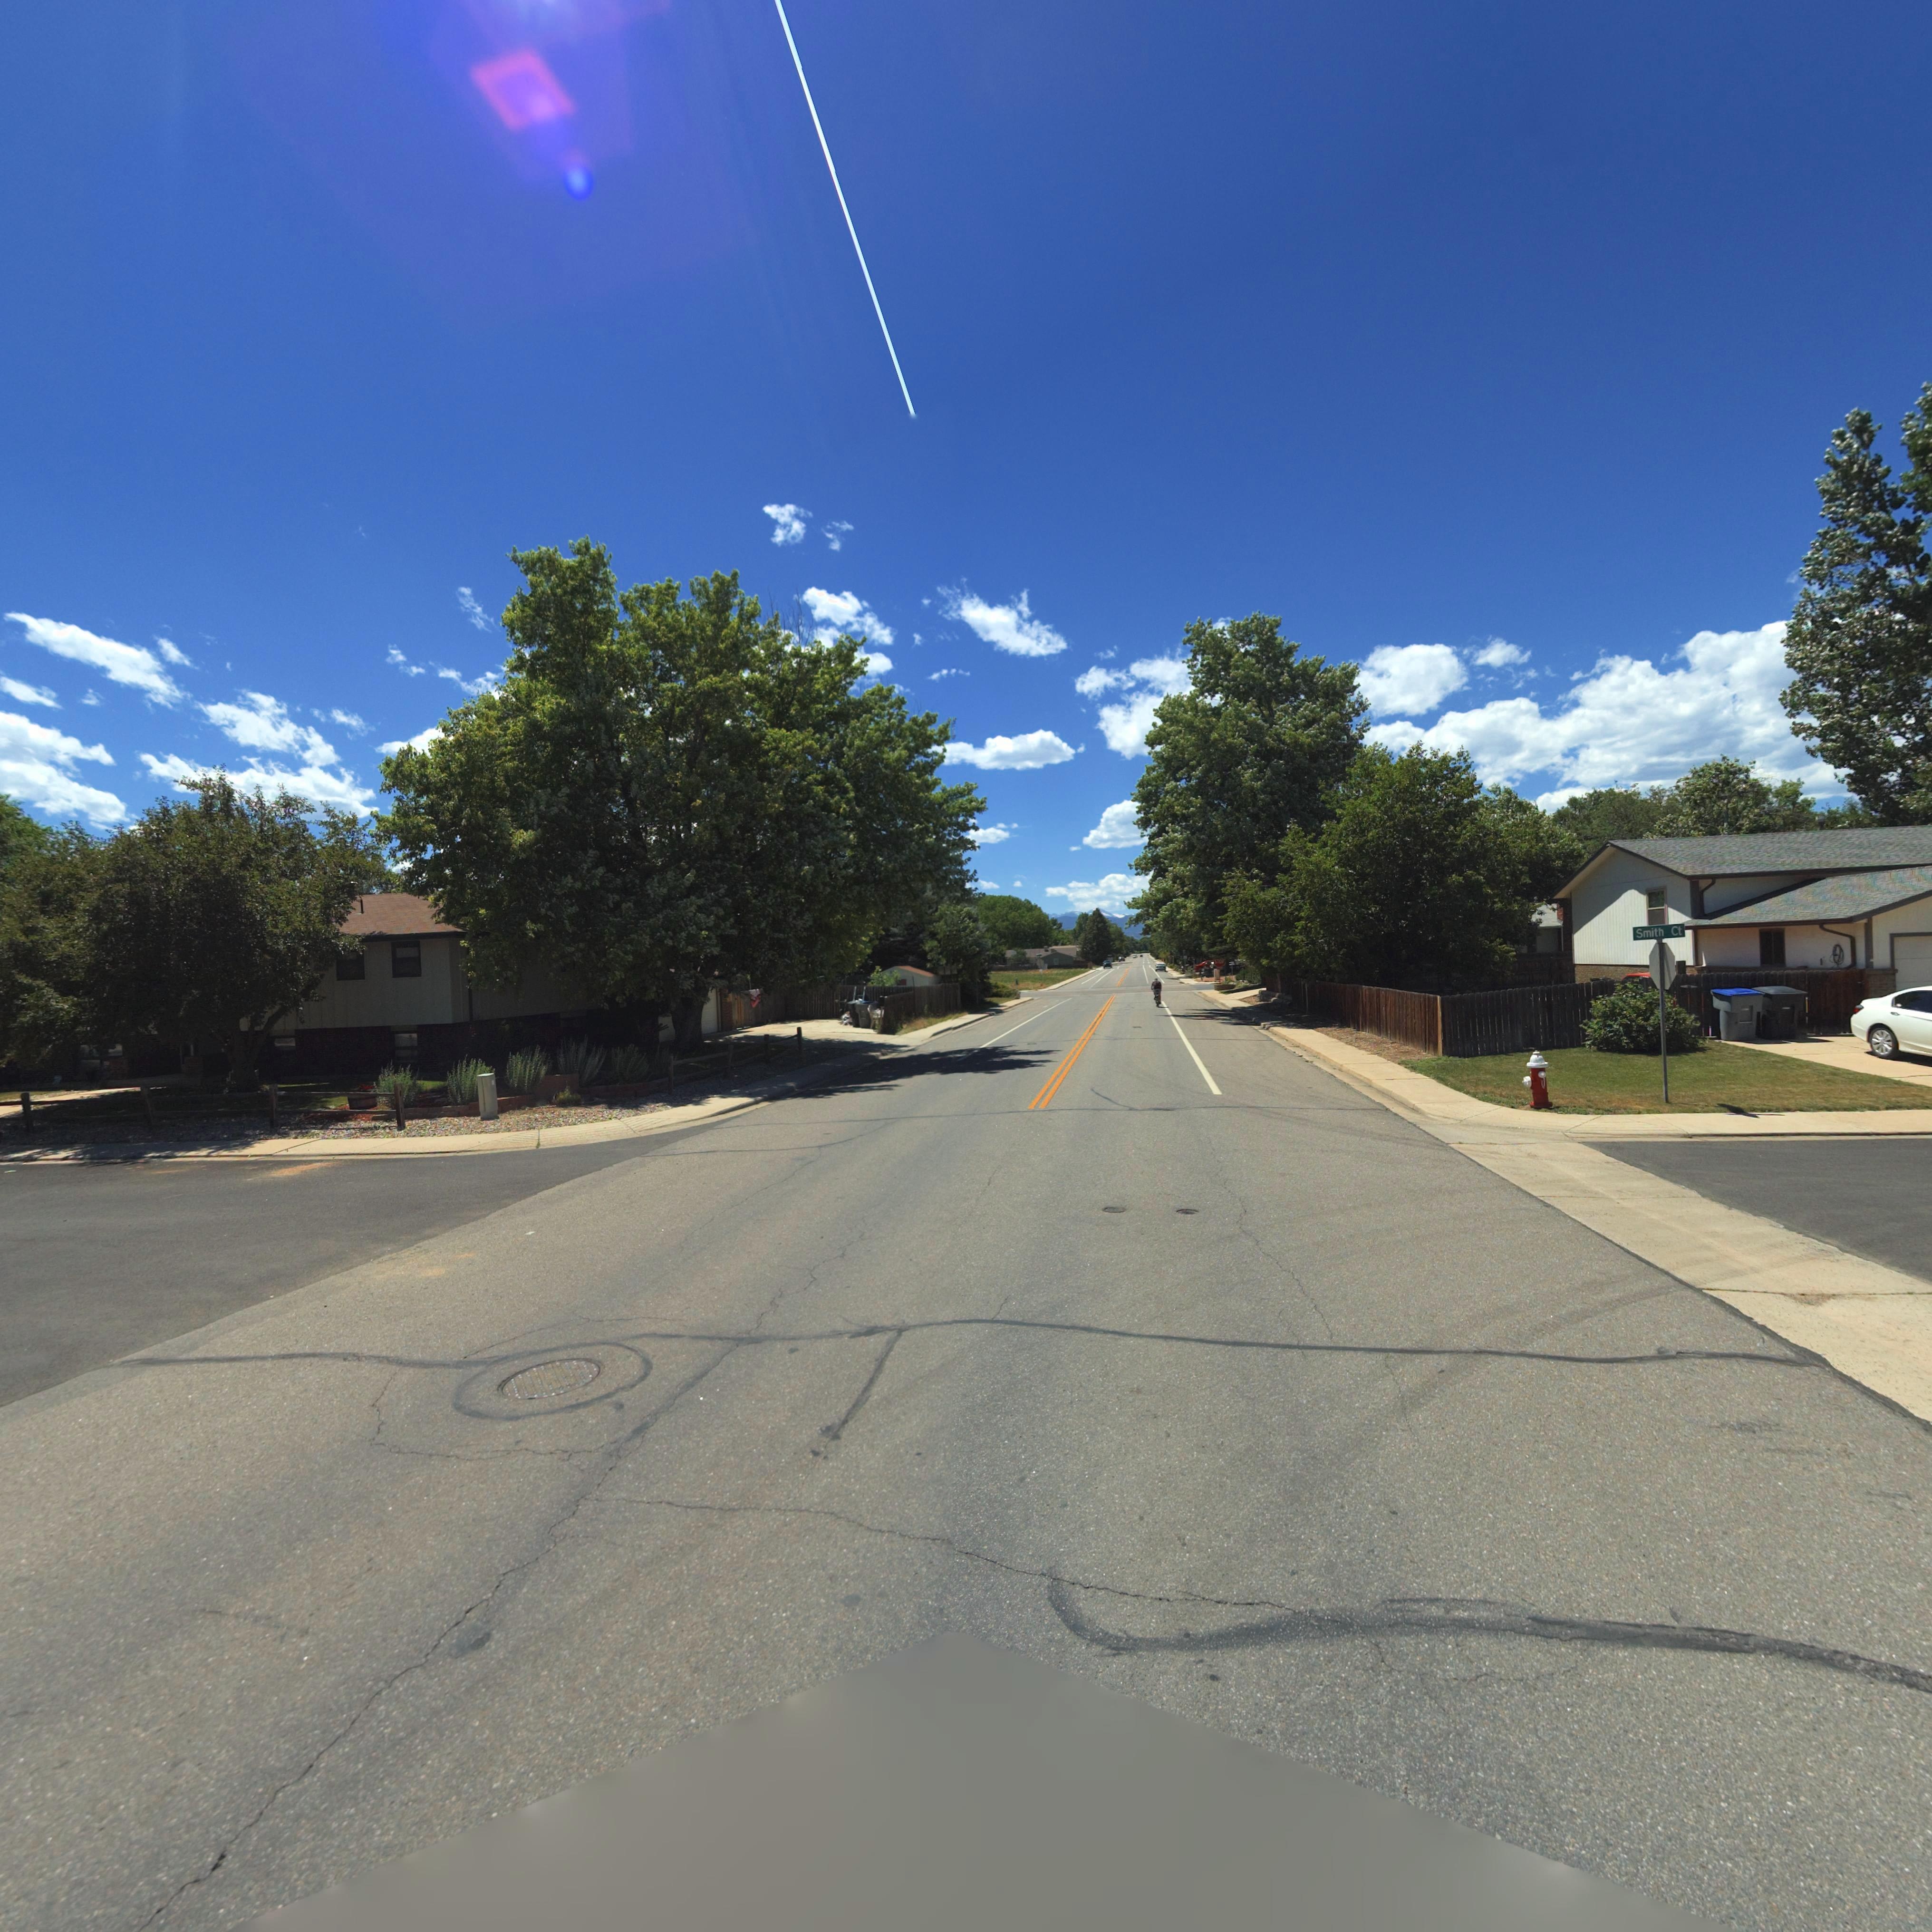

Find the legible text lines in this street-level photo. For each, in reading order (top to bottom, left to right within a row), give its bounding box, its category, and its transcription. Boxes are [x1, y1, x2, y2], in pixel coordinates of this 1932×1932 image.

[1635, 926, 1683, 938] StreetName: Smith Ct